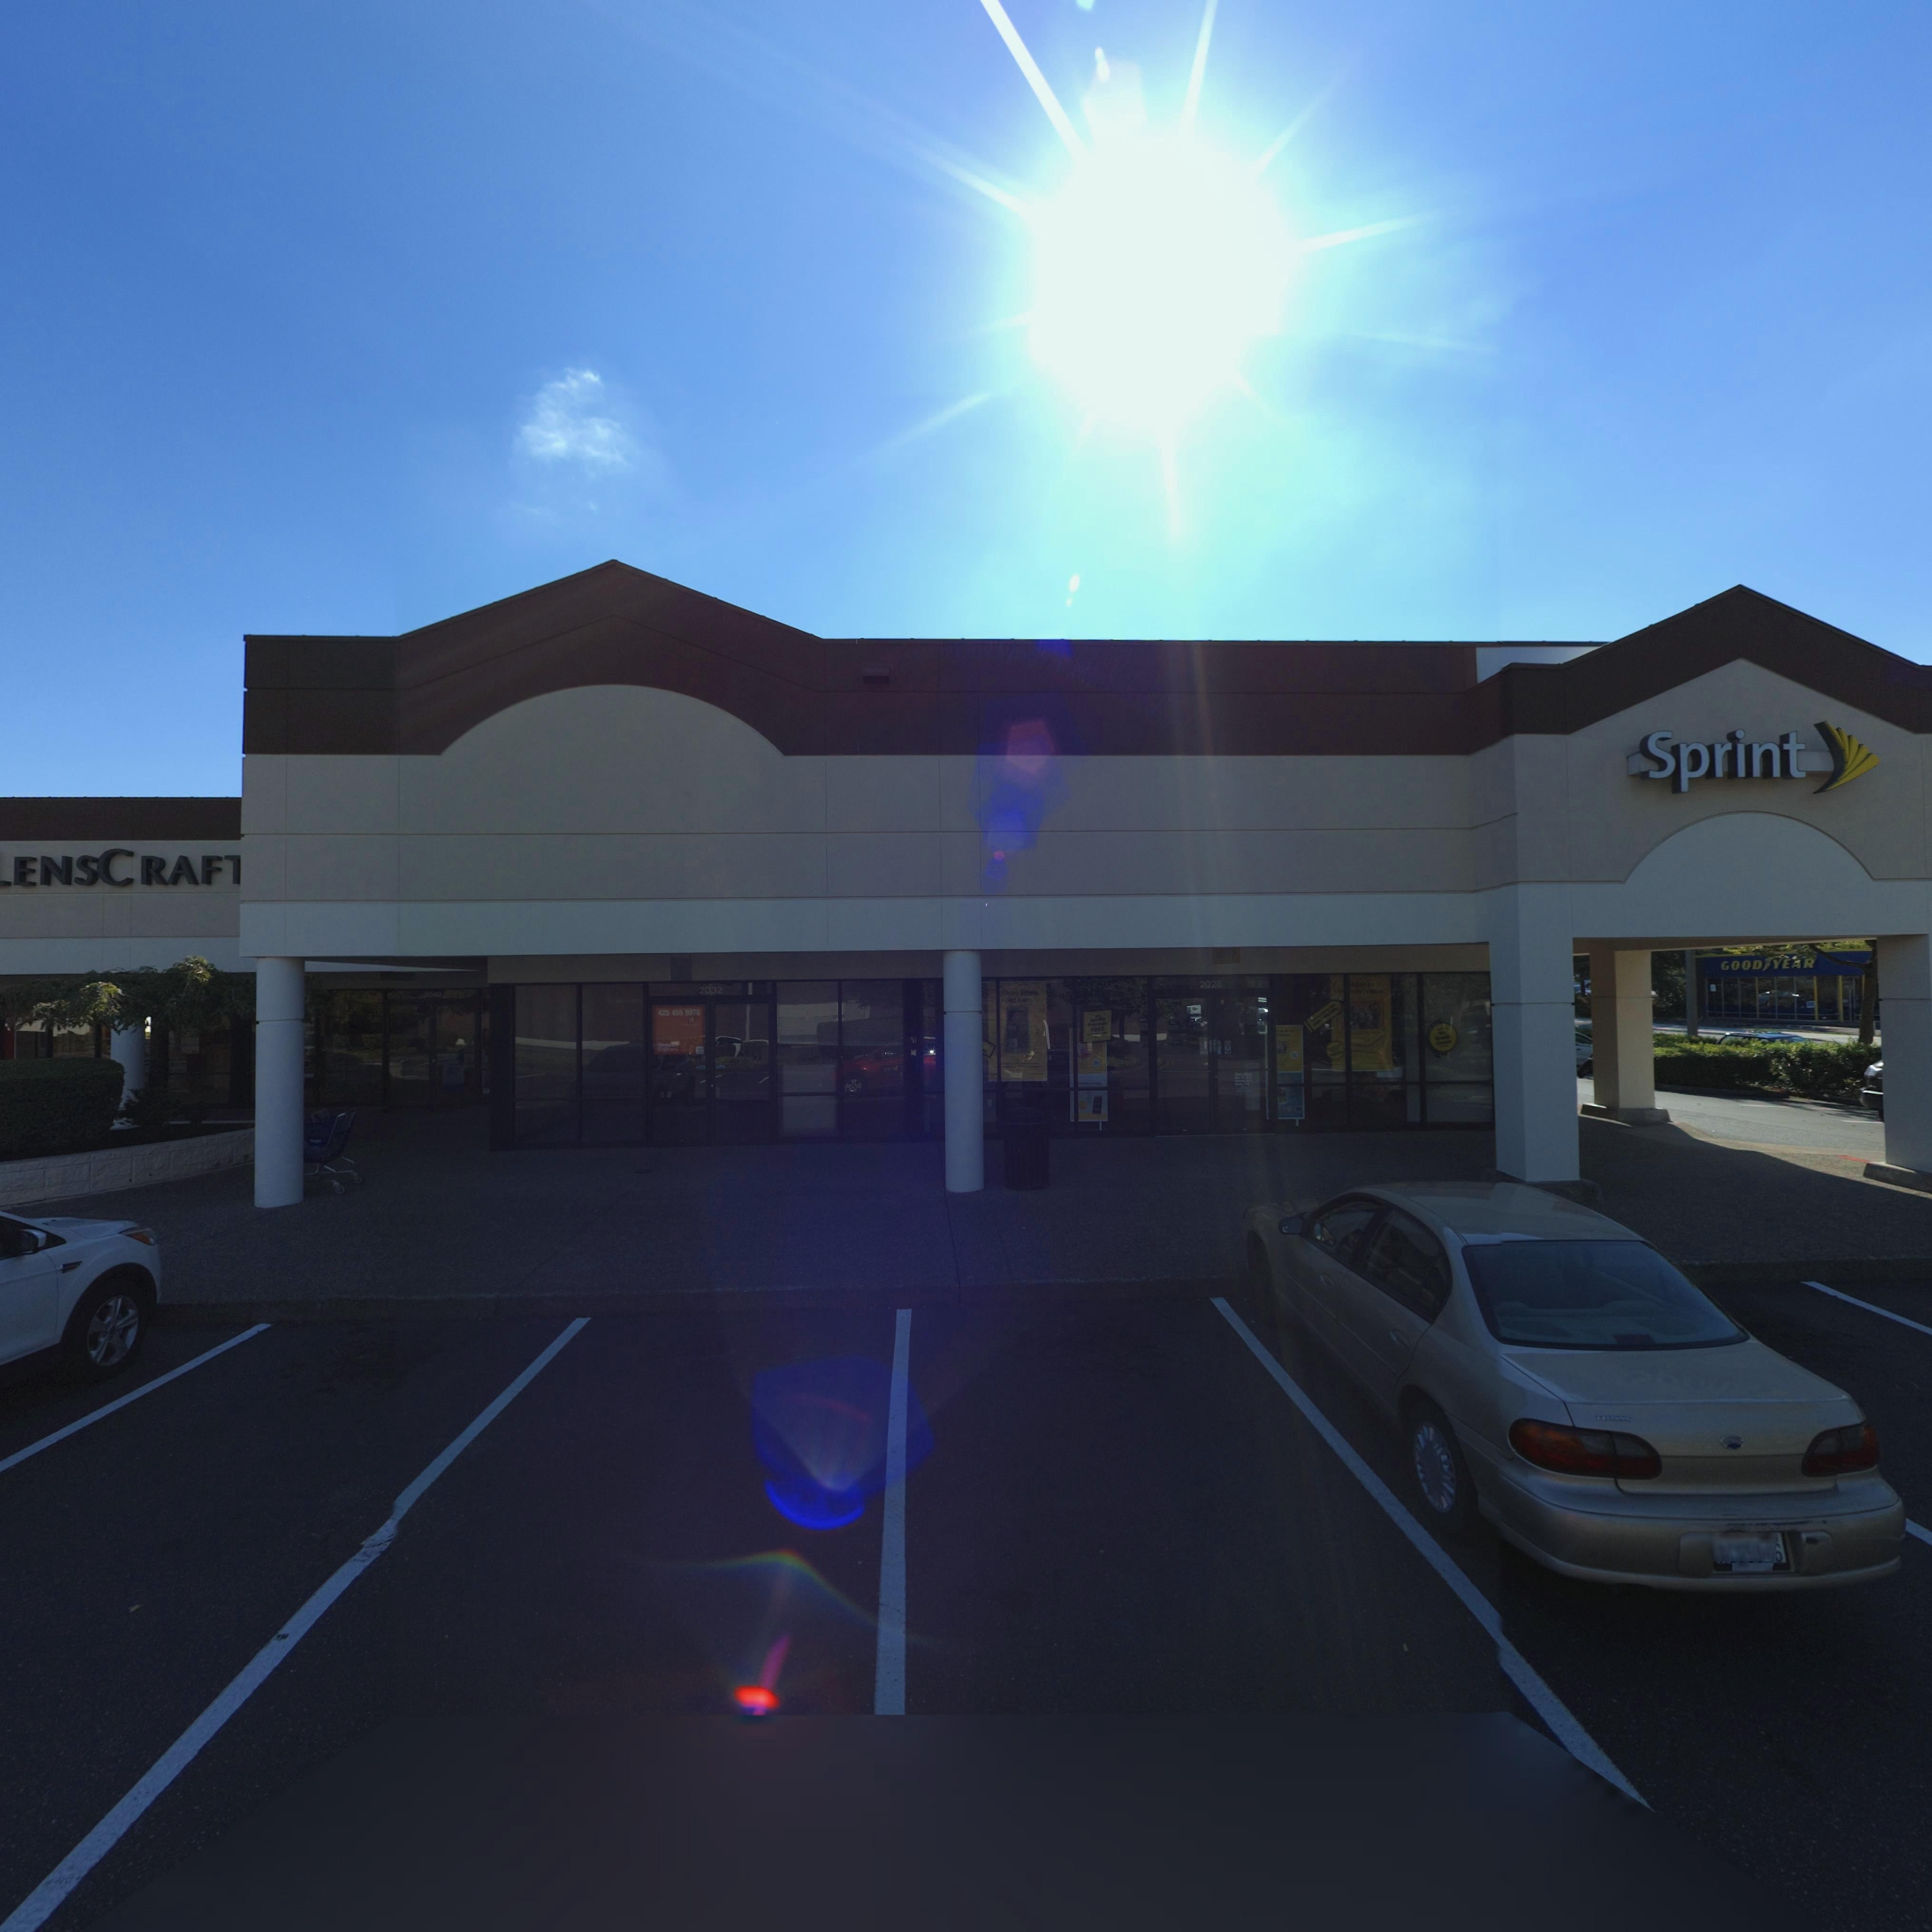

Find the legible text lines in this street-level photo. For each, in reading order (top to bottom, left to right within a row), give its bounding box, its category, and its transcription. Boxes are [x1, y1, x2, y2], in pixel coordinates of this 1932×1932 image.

[1648, 732, 1805, 791] BusinessName: Sprint
[10, 851, 244, 885] BusinessName: ENSCRAF*
[1721, 959, 1814, 970] BusinessName: GOOD*YEAR
[698, 986, 723, 994] StreetNumber: 2032
[1199, 981, 1224, 988] StreetNumber: 2028